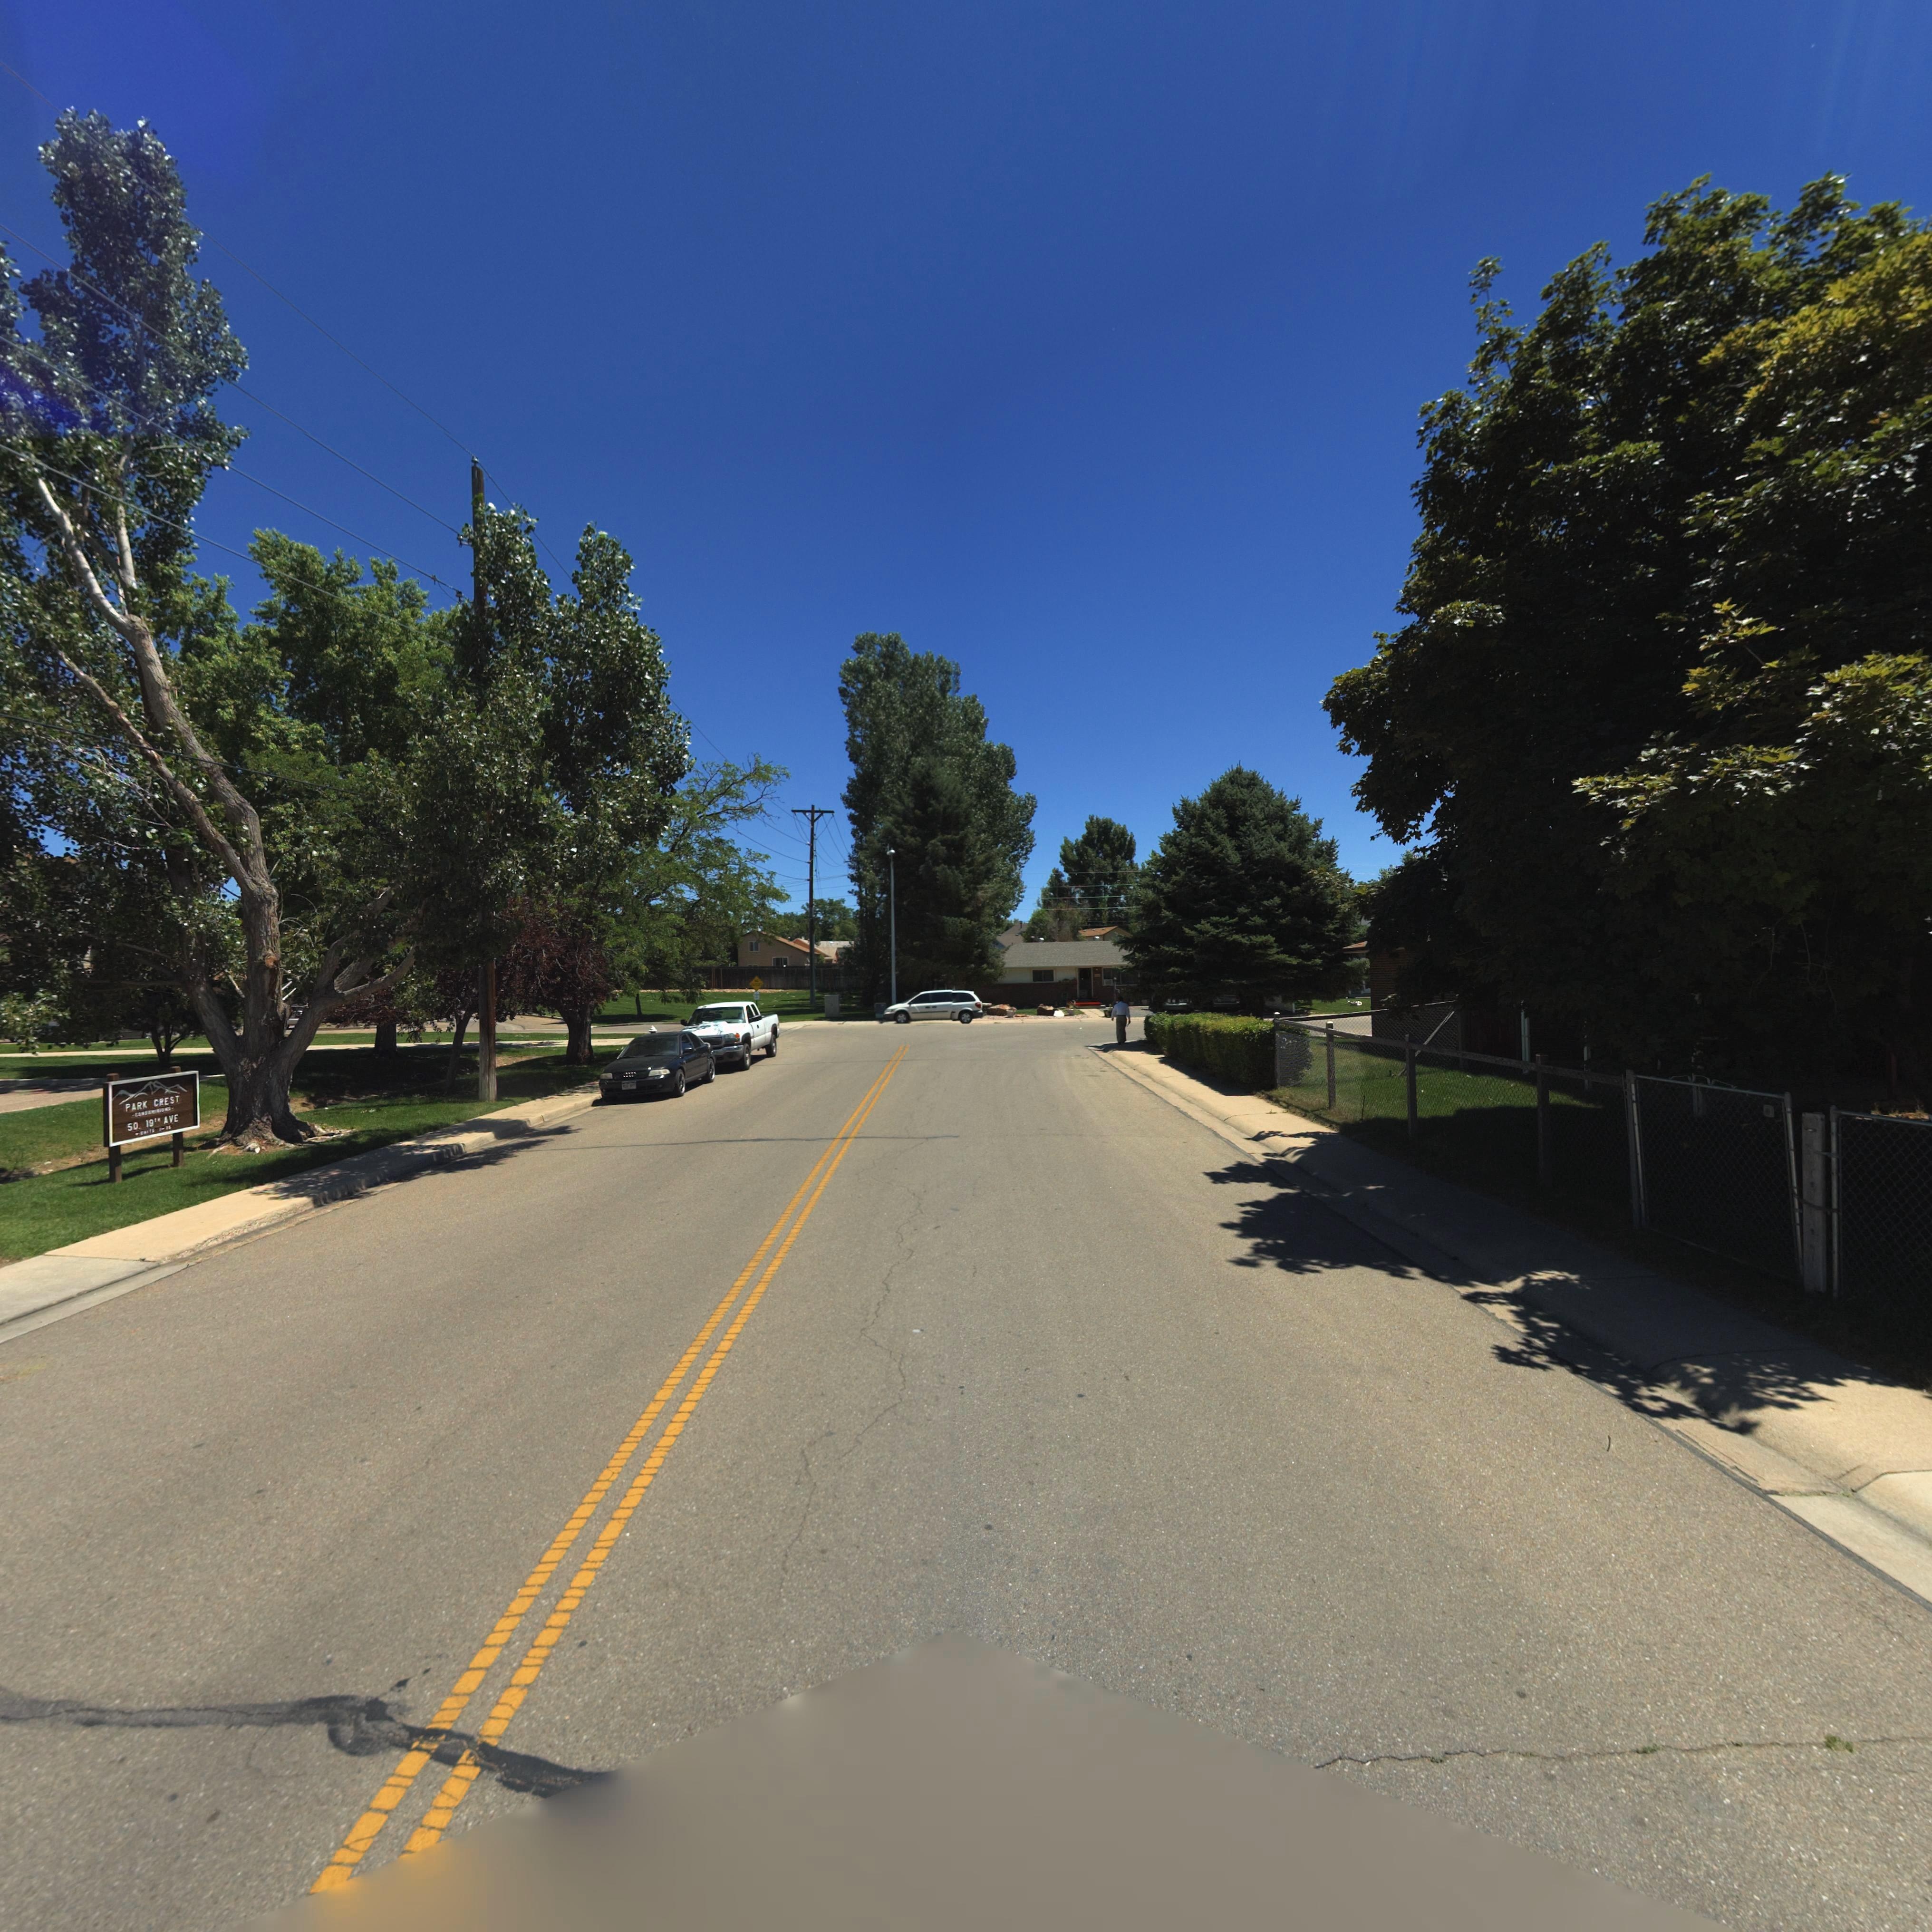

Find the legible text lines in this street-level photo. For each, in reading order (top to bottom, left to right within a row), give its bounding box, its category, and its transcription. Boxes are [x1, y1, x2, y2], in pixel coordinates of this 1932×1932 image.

[125, 1094, 180, 1112] BusinessName: PARK CREST
[134, 1106, 172, 1117] BusinessName: CONDOMINIUMS
[126, 1121, 138, 1131] StreetNumber: 50
[145, 1113, 179, 1128] StreetName: 19TH AVE